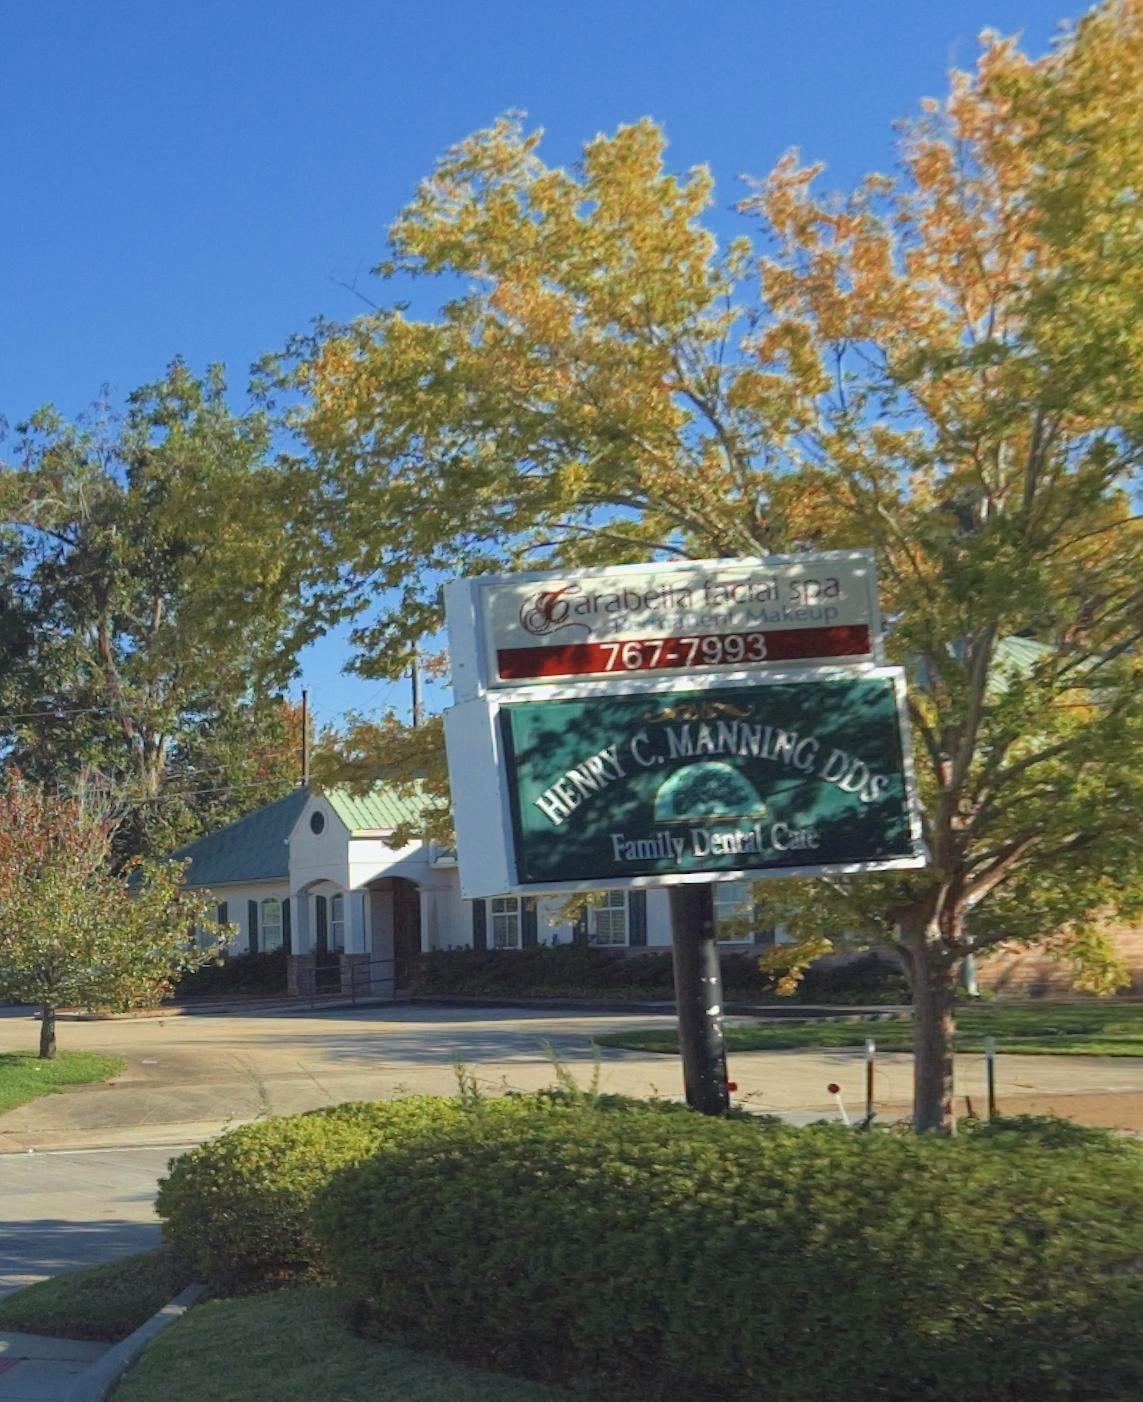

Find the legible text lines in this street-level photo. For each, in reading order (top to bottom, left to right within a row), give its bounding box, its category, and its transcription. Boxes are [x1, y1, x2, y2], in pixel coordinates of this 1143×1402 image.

[533, 571, 840, 625] BusinessName: Carabella facial spa
[613, 603, 841, 635] None: P**manent Makeup
[596, 631, 770, 672] None: 767-7993
[529, 717, 895, 829] BusinessName: HENRY C. MANNING, DDS
[608, 818, 825, 866] BusinessName: Family Dental Care